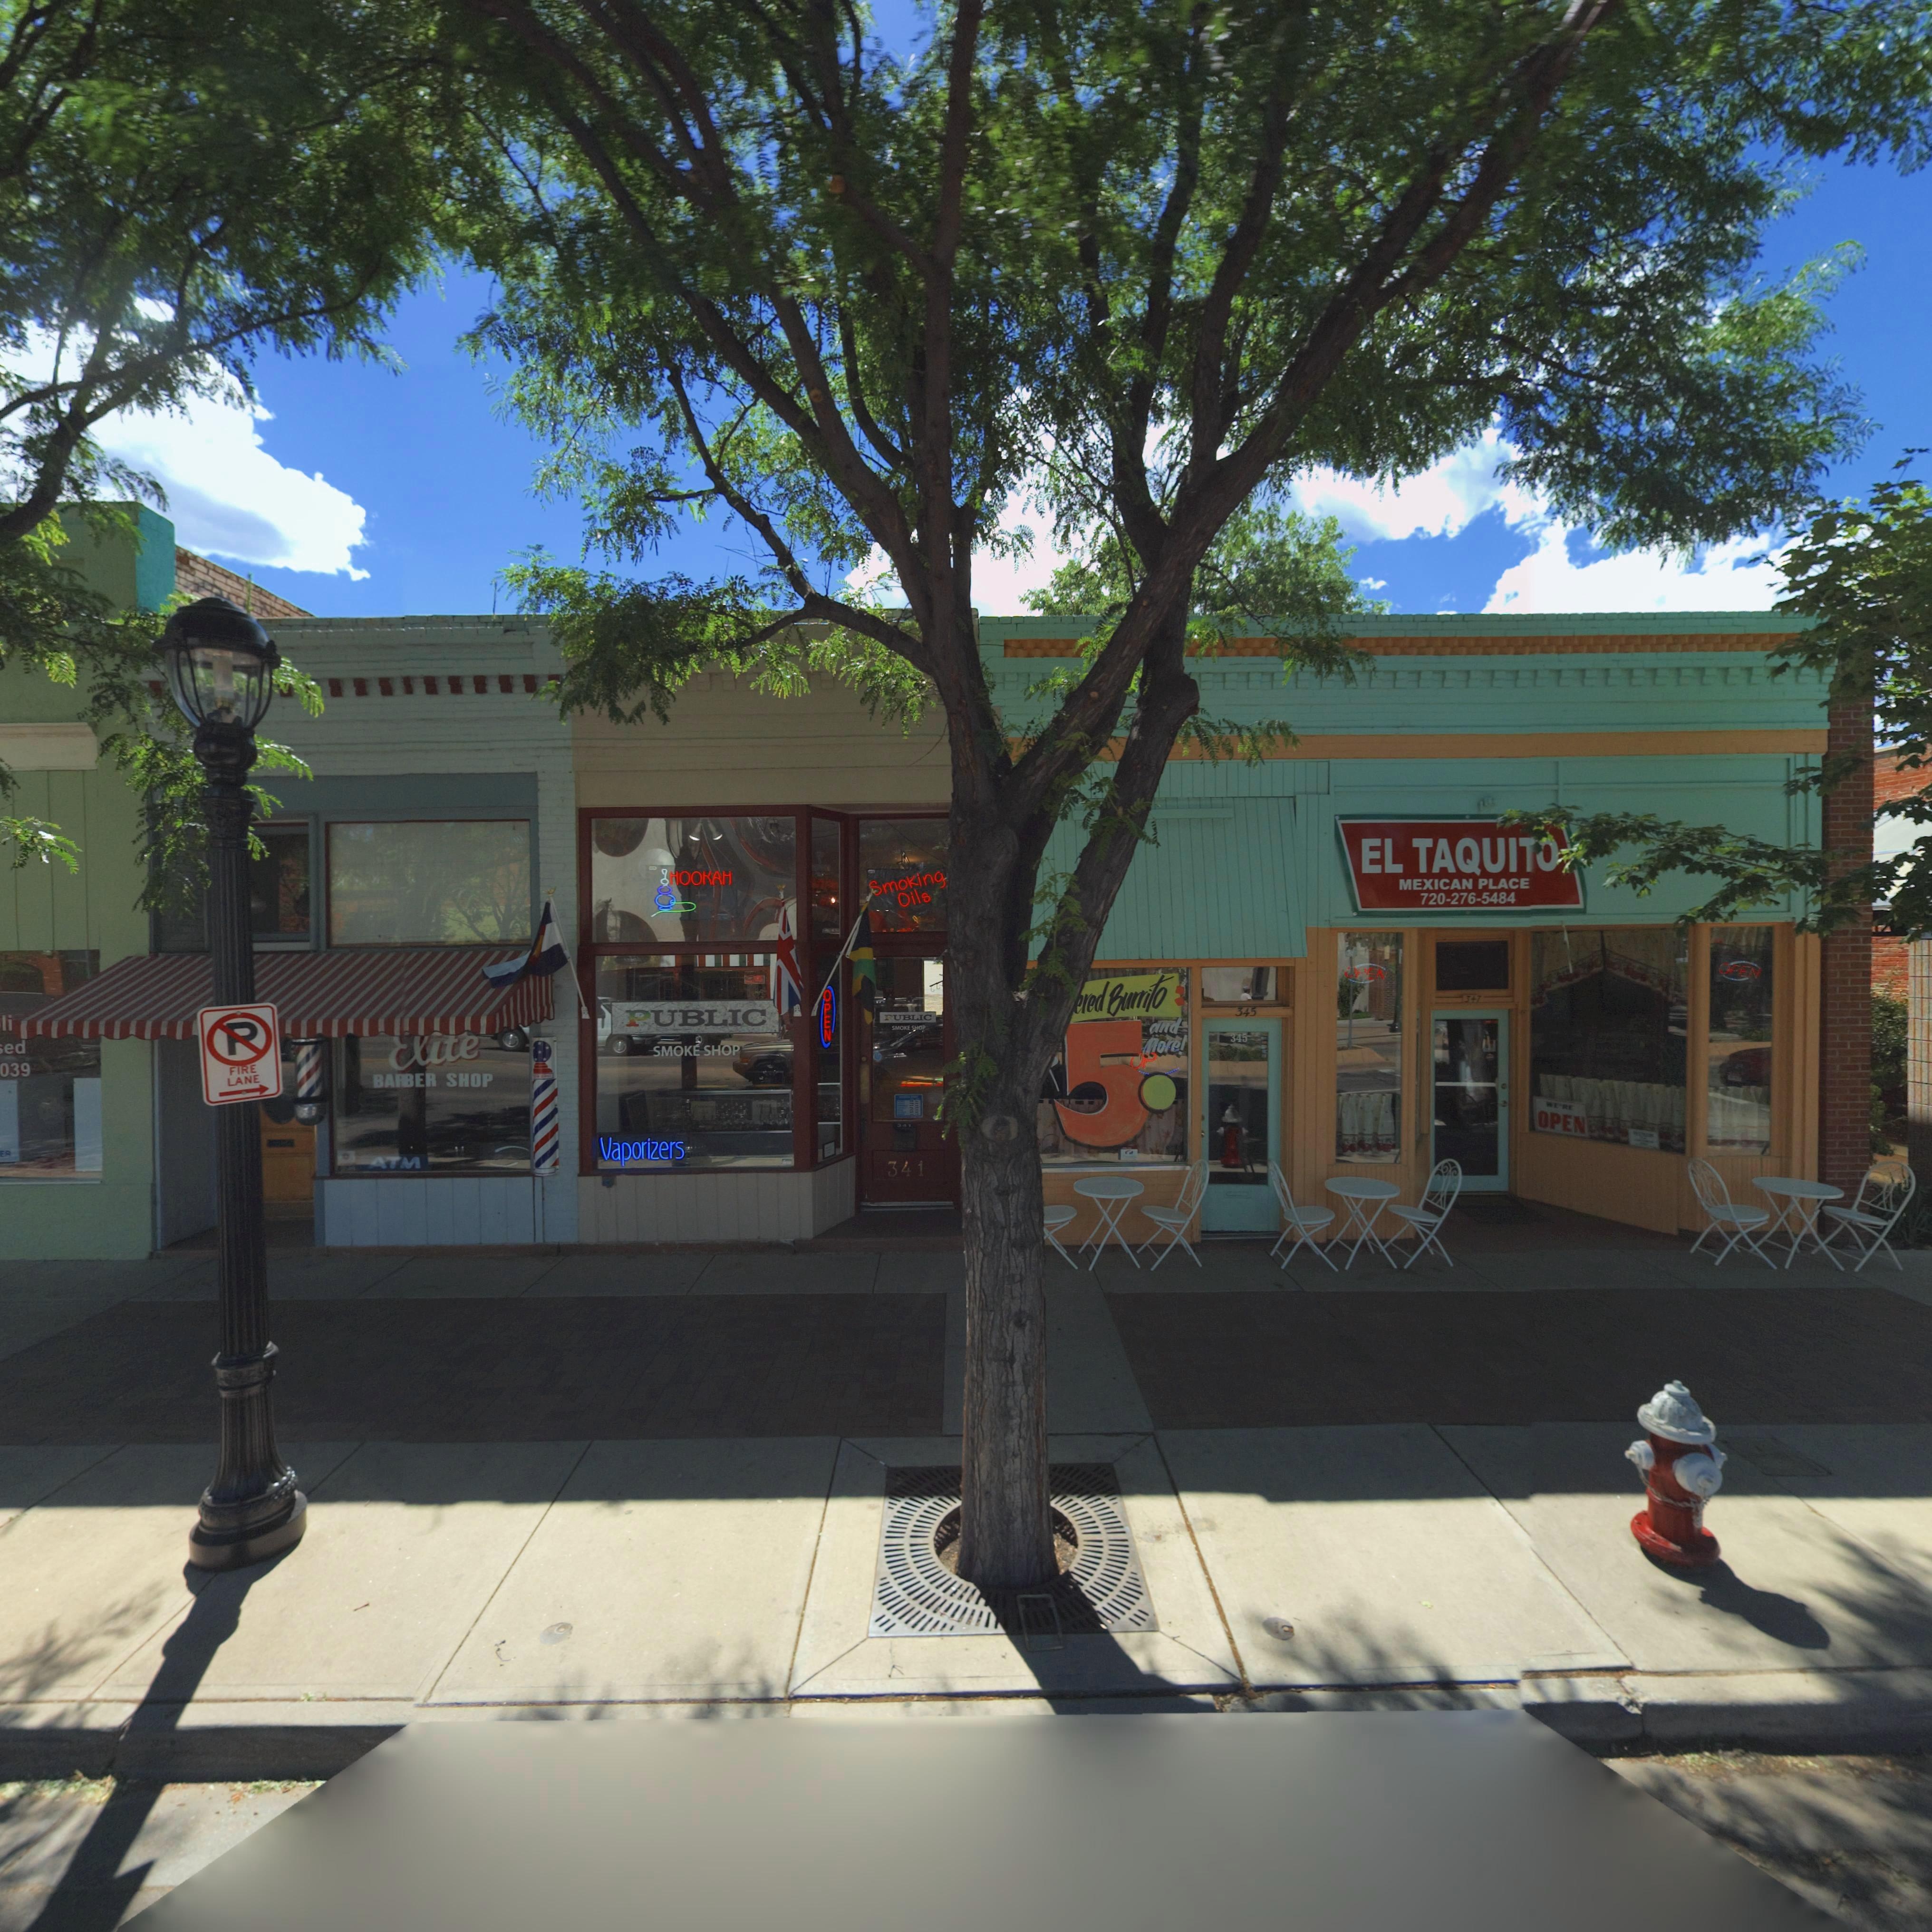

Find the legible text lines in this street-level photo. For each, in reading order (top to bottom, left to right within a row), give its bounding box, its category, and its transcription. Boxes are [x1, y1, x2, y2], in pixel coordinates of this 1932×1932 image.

[1361, 835, 1559, 876] BusinessName: EL TAQUITO
[1399, 877, 1529, 890] BusinessName: MEXICAN PLACE
[1463, 995, 1482, 1003] StreetNumber: 347
[625, 1008, 767, 1027] BusinessName: PUBLIC
[884, 1014, 932, 1021] BusinessName: PUBLIC
[1235, 1006, 1257, 1017] StreetNumber: 345
[891, 1024, 926, 1031] BusinessName: SMOKE SHOP
[1230, 1033, 1247, 1042] StreetNumber: 345
[387, 1030, 480, 1071] BusinessName: *lite
[653, 1044, 740, 1057] BusinessName: SMOKE SHOP
[372, 1072, 493, 1089] BusinessName: BARBER SHOP
[897, 1123, 911, 1127] StreetNumber: 341
[887, 1159, 924, 1178] StreetNumber: 341